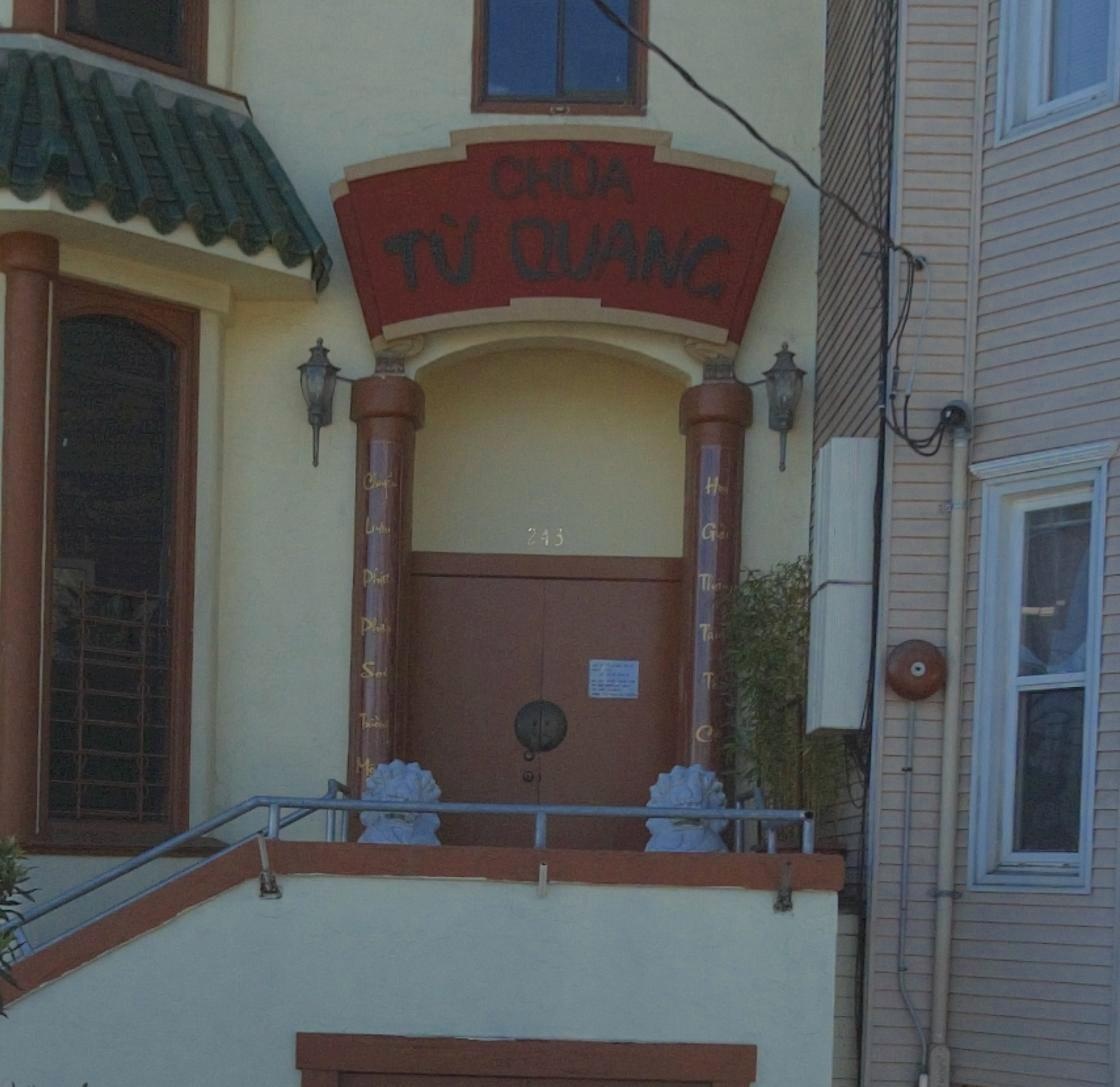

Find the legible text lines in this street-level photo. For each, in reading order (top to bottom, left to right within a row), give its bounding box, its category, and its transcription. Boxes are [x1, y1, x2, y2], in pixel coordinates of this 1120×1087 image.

[489, 155, 640, 206] BusinessName: CHUA
[378, 211, 733, 304] BusinessName: T* QUANG
[524, 526, 567, 549] StreetNumber: 243